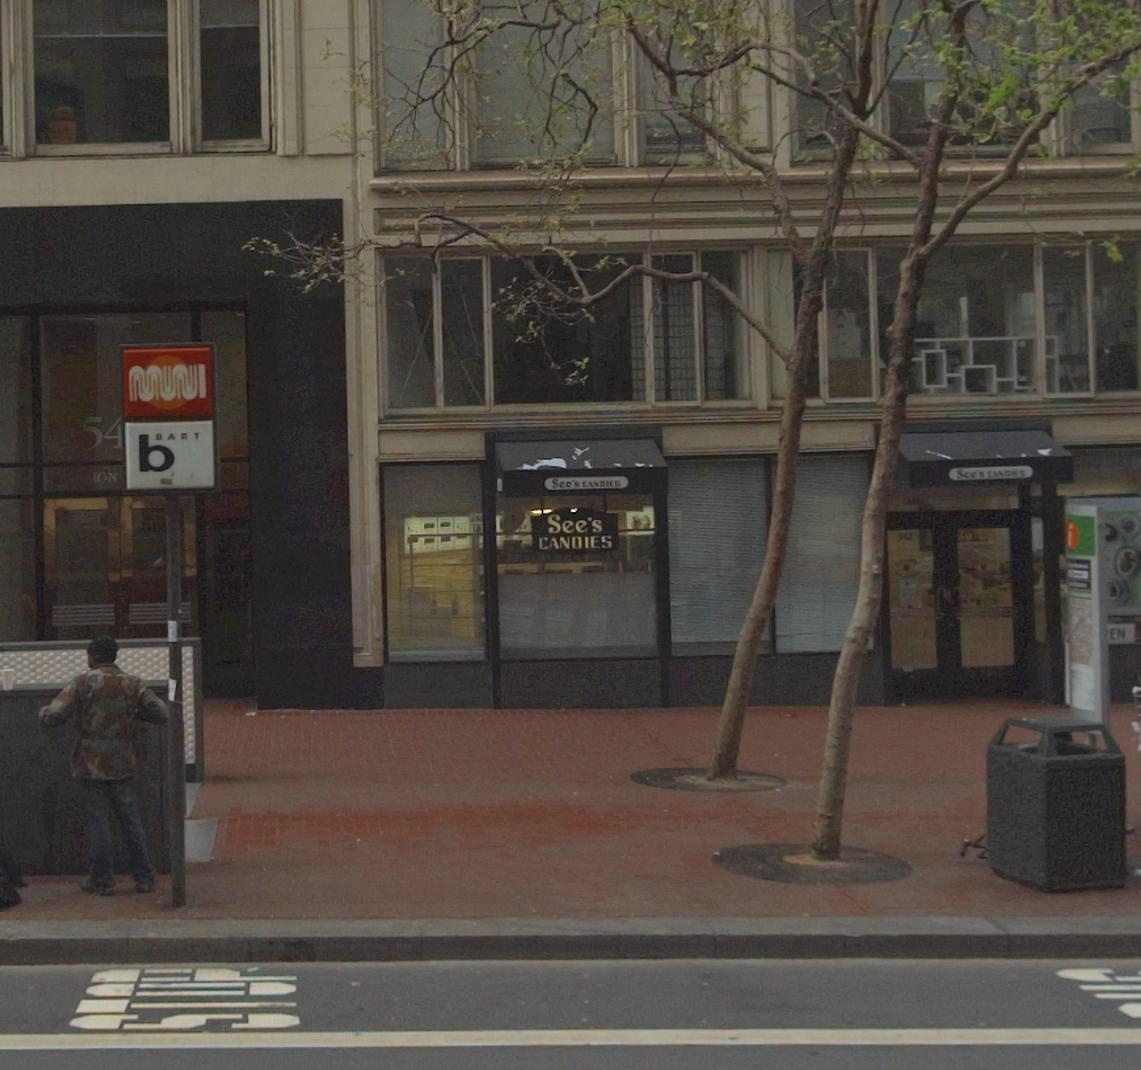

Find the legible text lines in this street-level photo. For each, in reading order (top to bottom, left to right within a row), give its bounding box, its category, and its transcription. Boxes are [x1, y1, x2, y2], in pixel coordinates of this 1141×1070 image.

[78, 411, 126, 454] StreetNumber: 54
[153, 429, 203, 443] None: BART
[135, 430, 180, 477] None: b
[95, 469, 120, 486] None: ON
[549, 475, 624, 490] BusinessName: See's CANDIES
[953, 467, 988, 482] BusinessName: See's
[543, 512, 605, 535] BusinessName: See's Candies
[536, 532, 615, 553] BusinessName: CANDIES
[58, 955, 305, 1037] None: STOP